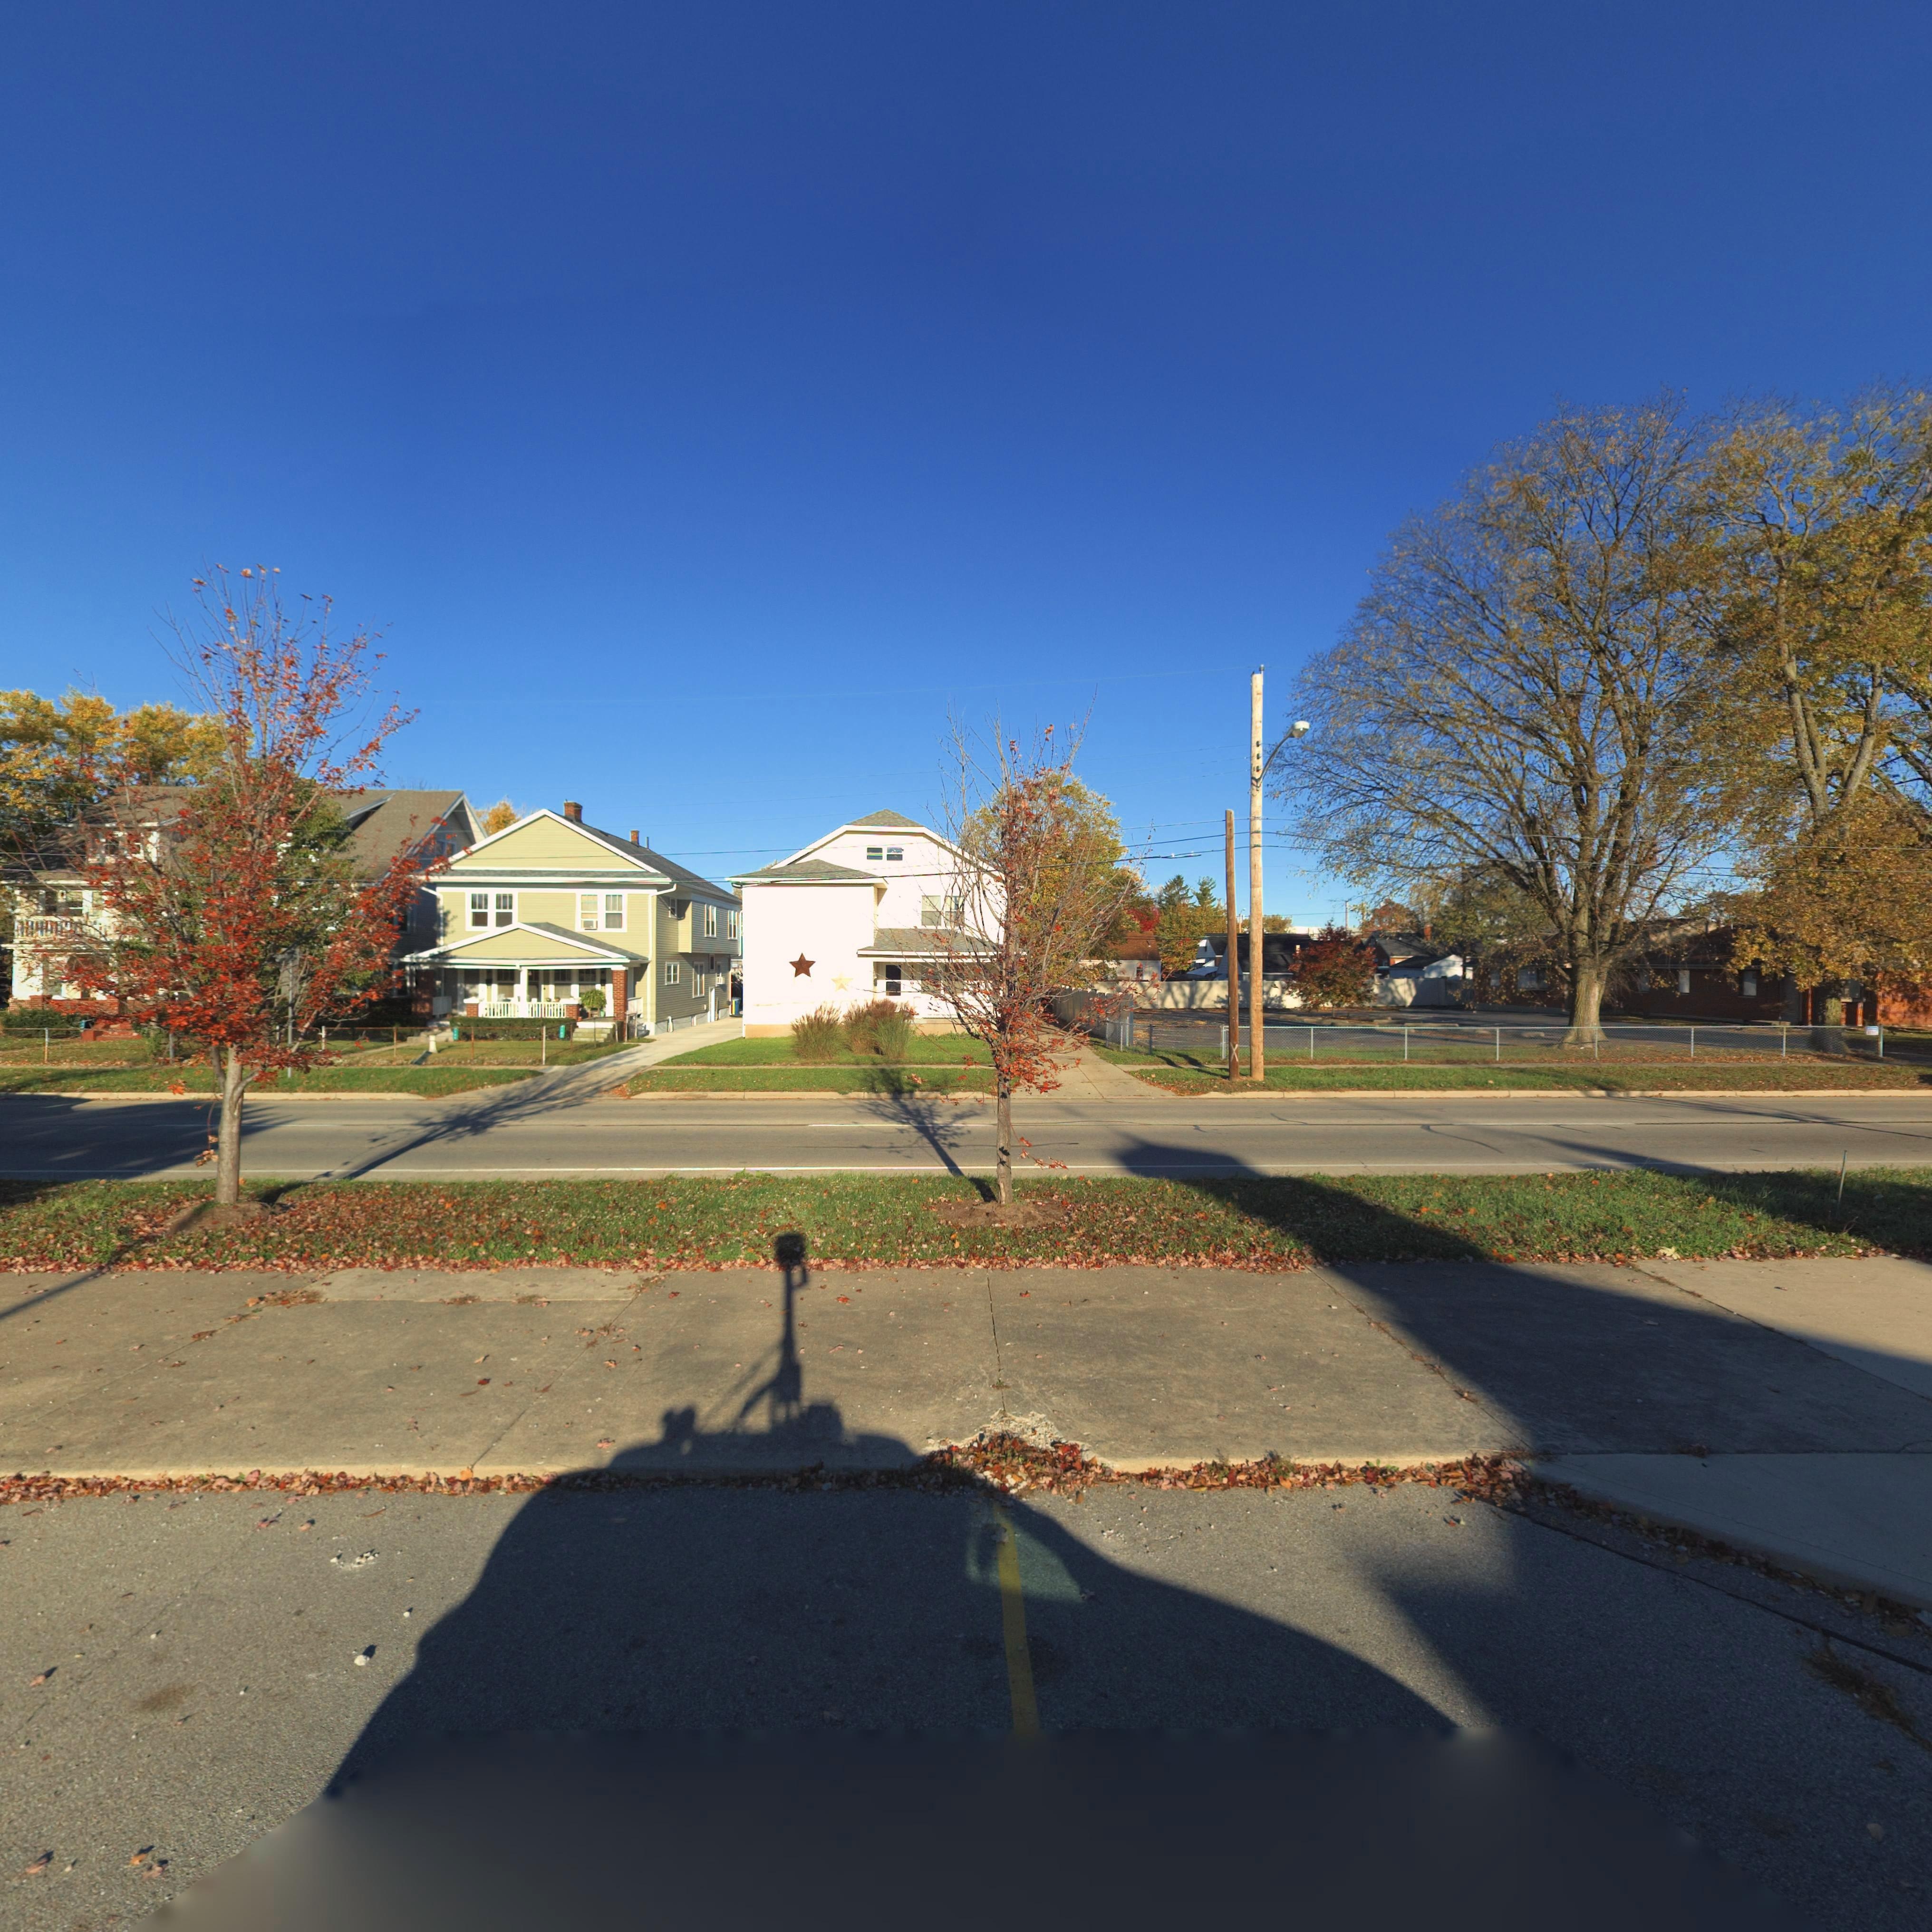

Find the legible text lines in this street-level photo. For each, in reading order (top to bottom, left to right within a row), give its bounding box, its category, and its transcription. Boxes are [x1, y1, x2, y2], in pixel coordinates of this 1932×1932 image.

[909, 964, 914, 986] StreetNumber: **39